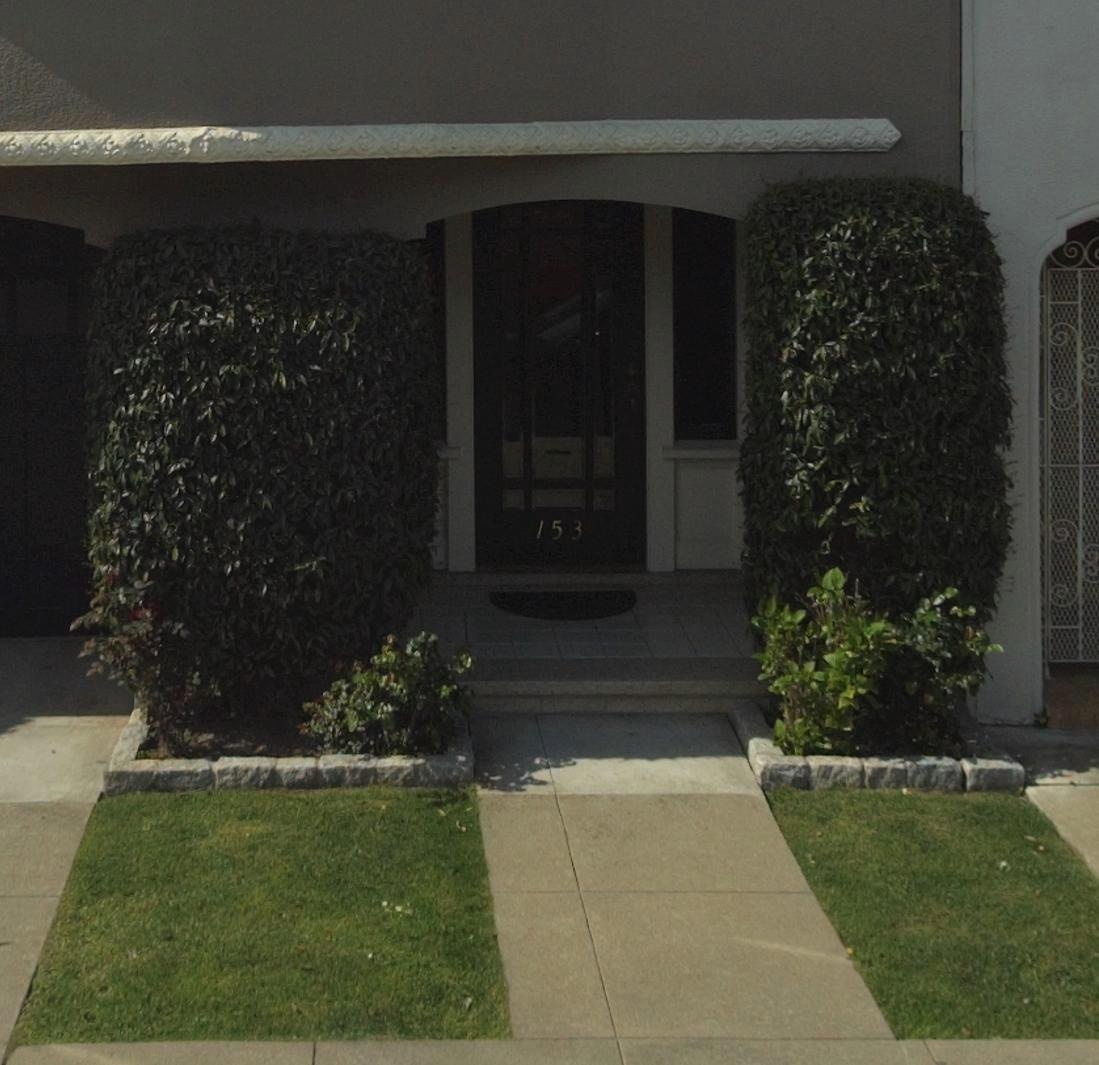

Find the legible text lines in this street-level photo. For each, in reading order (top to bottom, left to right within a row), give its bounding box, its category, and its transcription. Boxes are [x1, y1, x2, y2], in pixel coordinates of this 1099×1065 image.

[533, 518, 585, 542] StreetNumber: 153